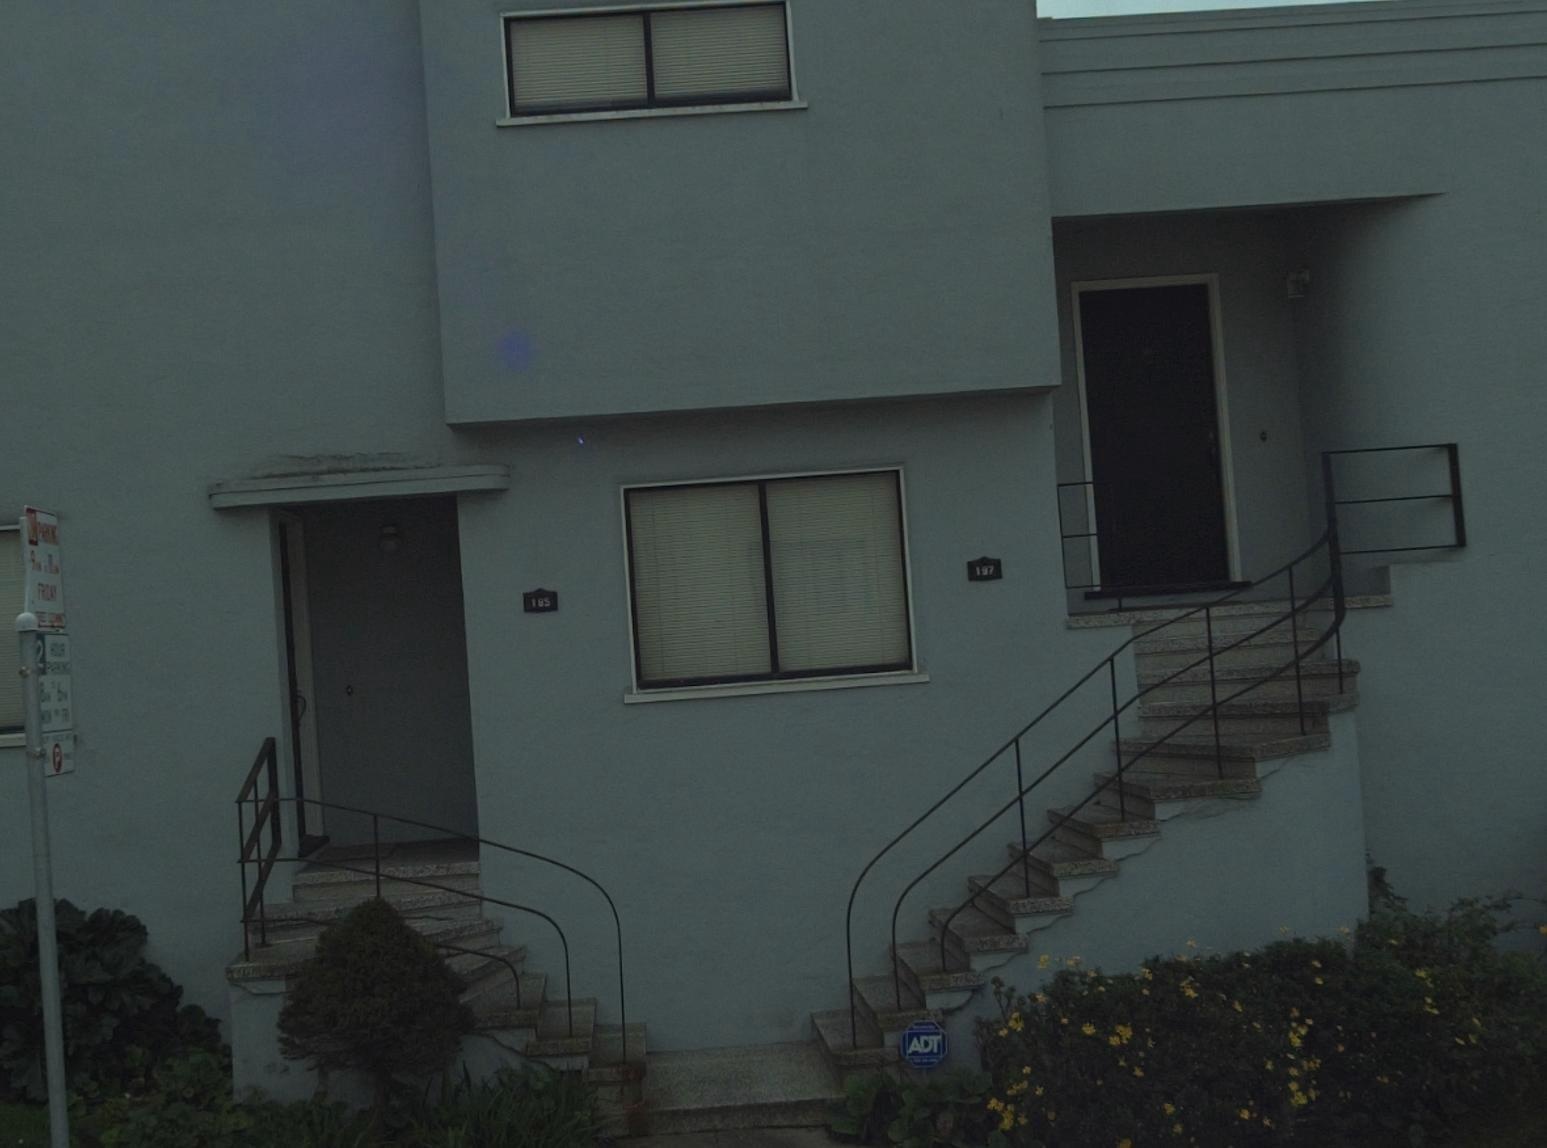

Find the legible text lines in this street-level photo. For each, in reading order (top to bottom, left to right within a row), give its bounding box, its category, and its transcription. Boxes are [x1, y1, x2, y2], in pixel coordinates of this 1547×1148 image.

[26, 510, 60, 547] None: NO PARKING
[29, 547, 36, 573] None: 9
[974, 565, 995, 577] StreetNumber: 197
[36, 580, 59, 603] None: FRIDAY
[529, 596, 552, 609] StreetNumber: 185
[35, 638, 45, 670] None: 2
[48, 641, 67, 659] None: HOUR
[45, 659, 71, 676] None: PARKING
[38, 680, 46, 703] None: 8
[56, 679, 63, 703] None: 5
[39, 708, 53, 725] None: MON
[60, 707, 71, 725] None: FRI
[54, 746, 62, 771] None: P
[904, 1035, 944, 1055] None: ADT